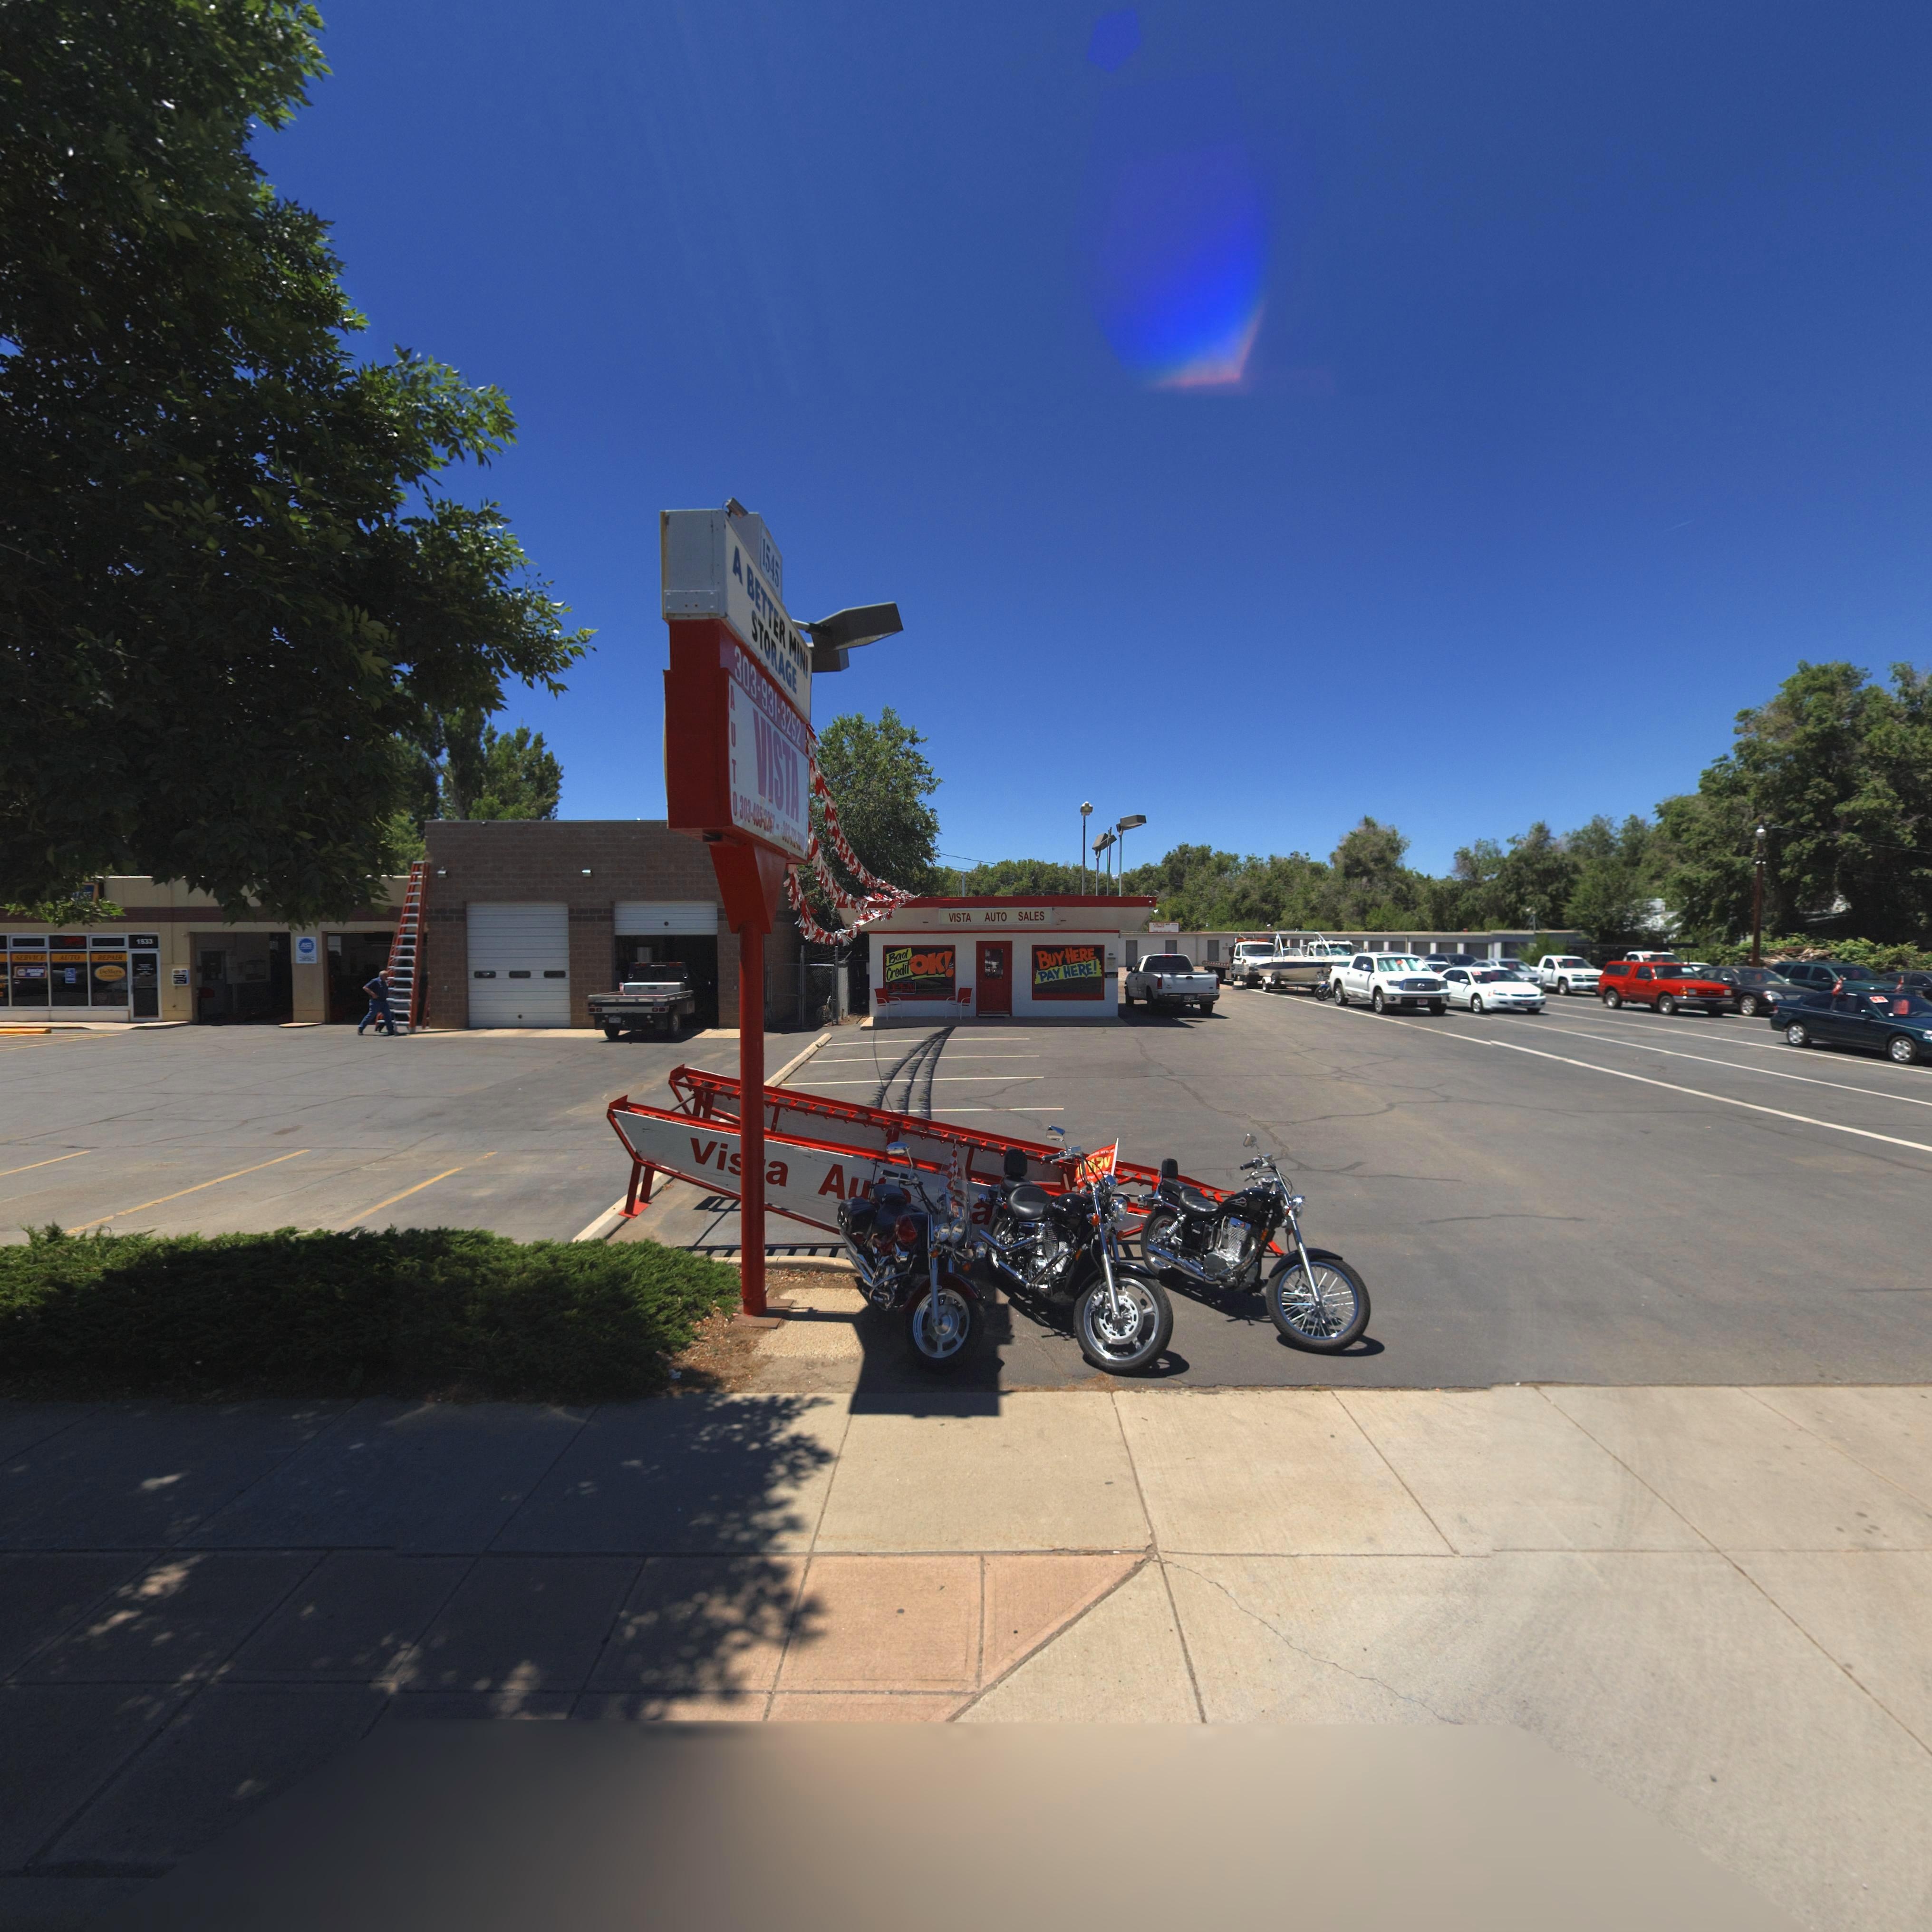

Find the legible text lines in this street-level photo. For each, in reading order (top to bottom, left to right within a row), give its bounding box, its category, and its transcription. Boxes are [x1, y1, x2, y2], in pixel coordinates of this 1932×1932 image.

[762, 538, 780, 588] StreetNumber: 1545
[752, 705, 799, 825] BusinessName: VISTA
[136, 938, 154, 945] StreetNumber: 1533
[948, 911, 1044, 922] StreetNumber: VISTA AUTO SALES